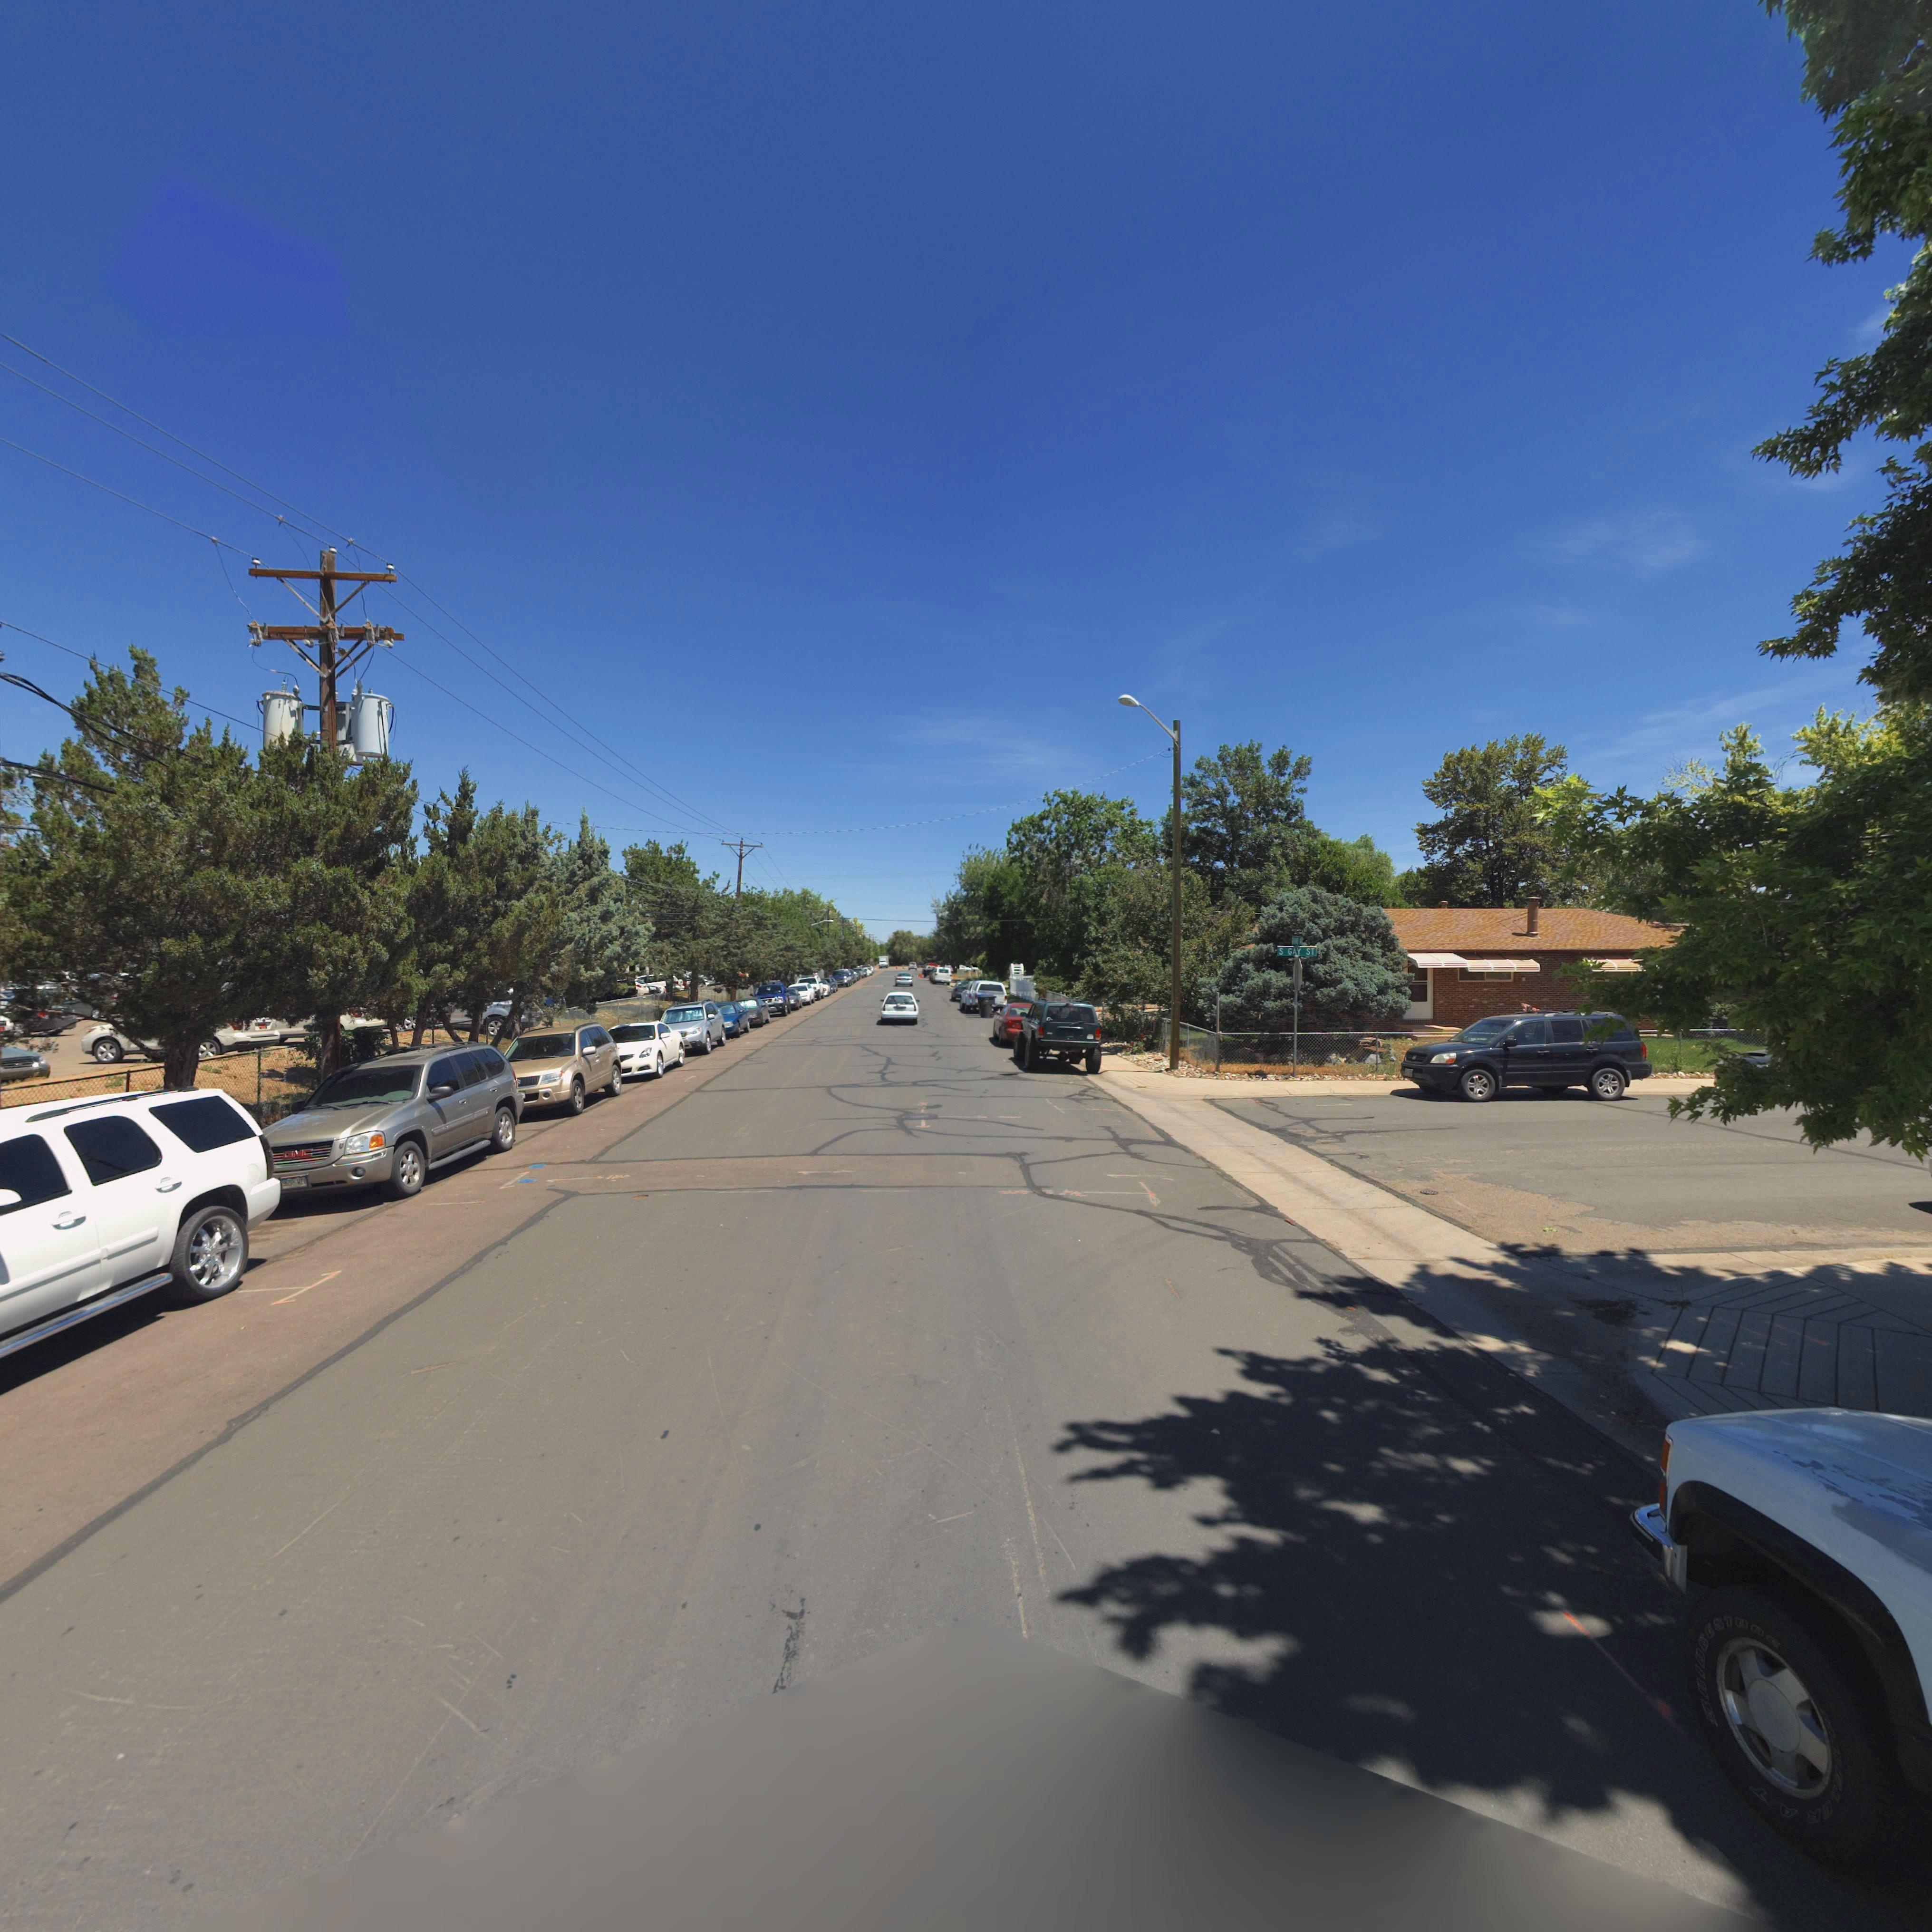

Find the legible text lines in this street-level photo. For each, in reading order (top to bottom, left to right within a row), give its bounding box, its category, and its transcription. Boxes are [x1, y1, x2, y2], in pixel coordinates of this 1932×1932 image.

[1278, 947, 1315, 955] StreetName: S GAY ST